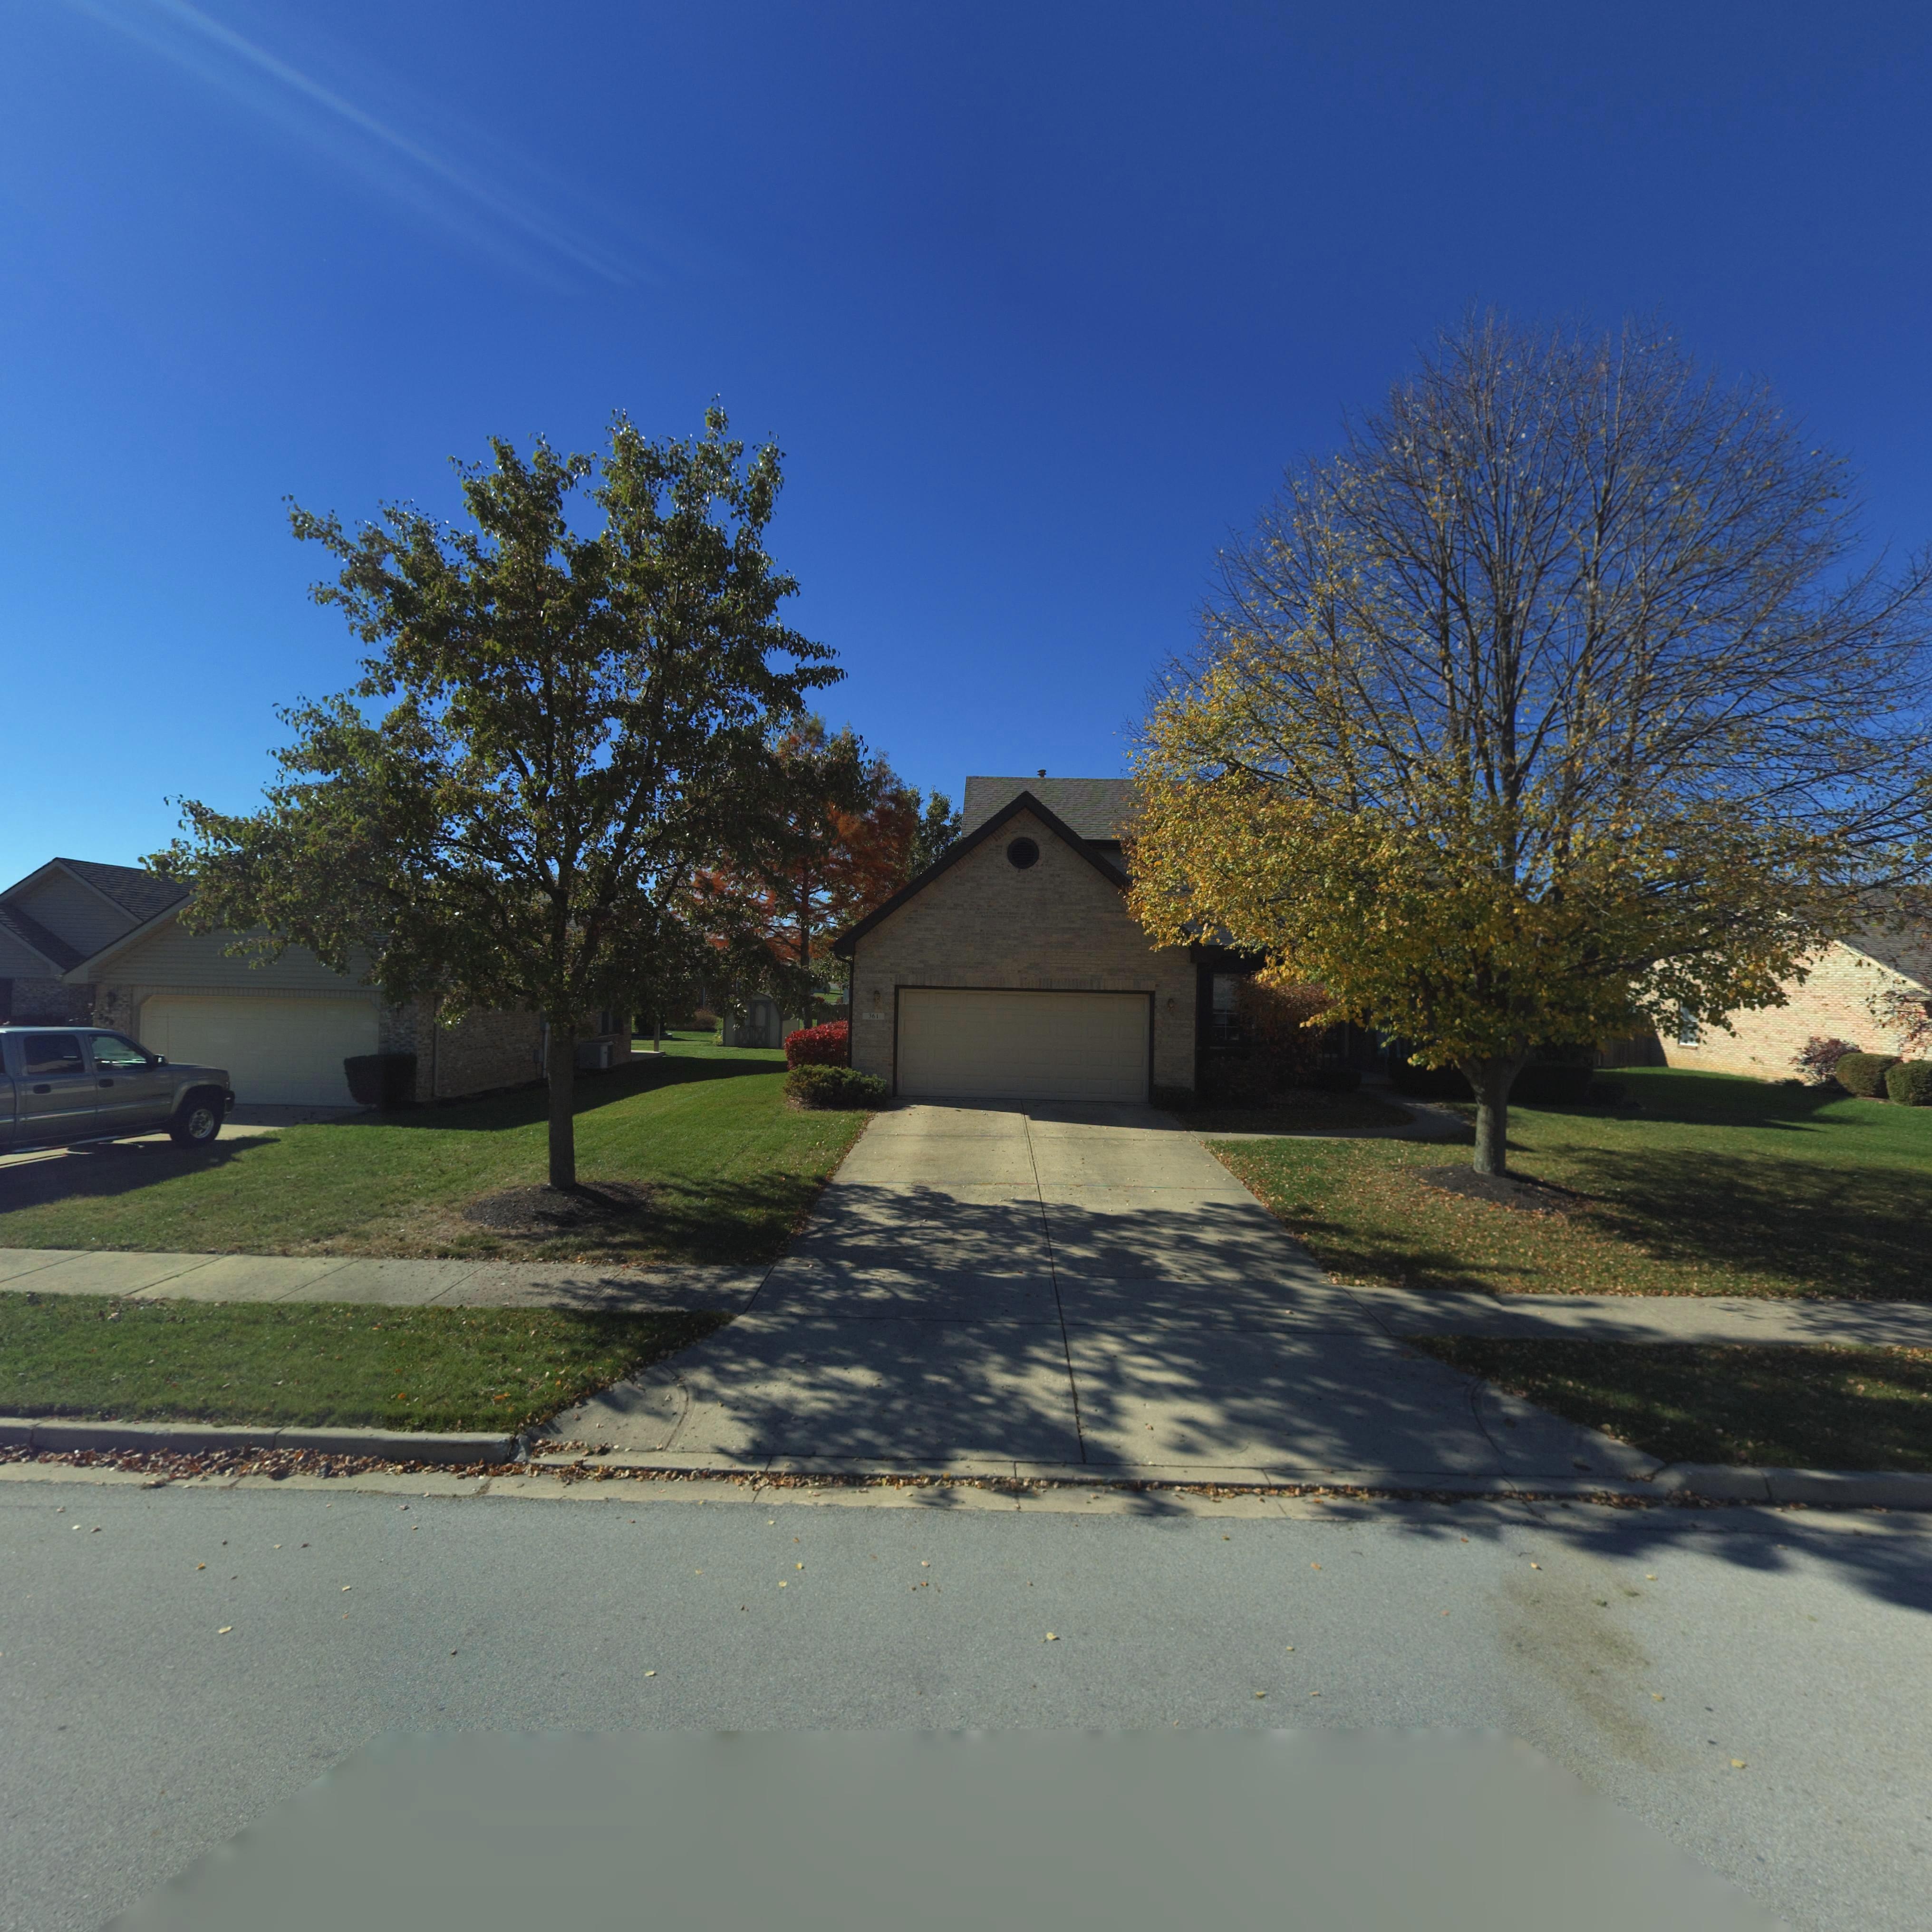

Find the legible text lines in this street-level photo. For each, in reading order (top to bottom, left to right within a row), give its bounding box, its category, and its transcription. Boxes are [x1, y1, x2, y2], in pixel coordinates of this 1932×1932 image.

[868, 1013, 879, 1019] StreetNumber: 361